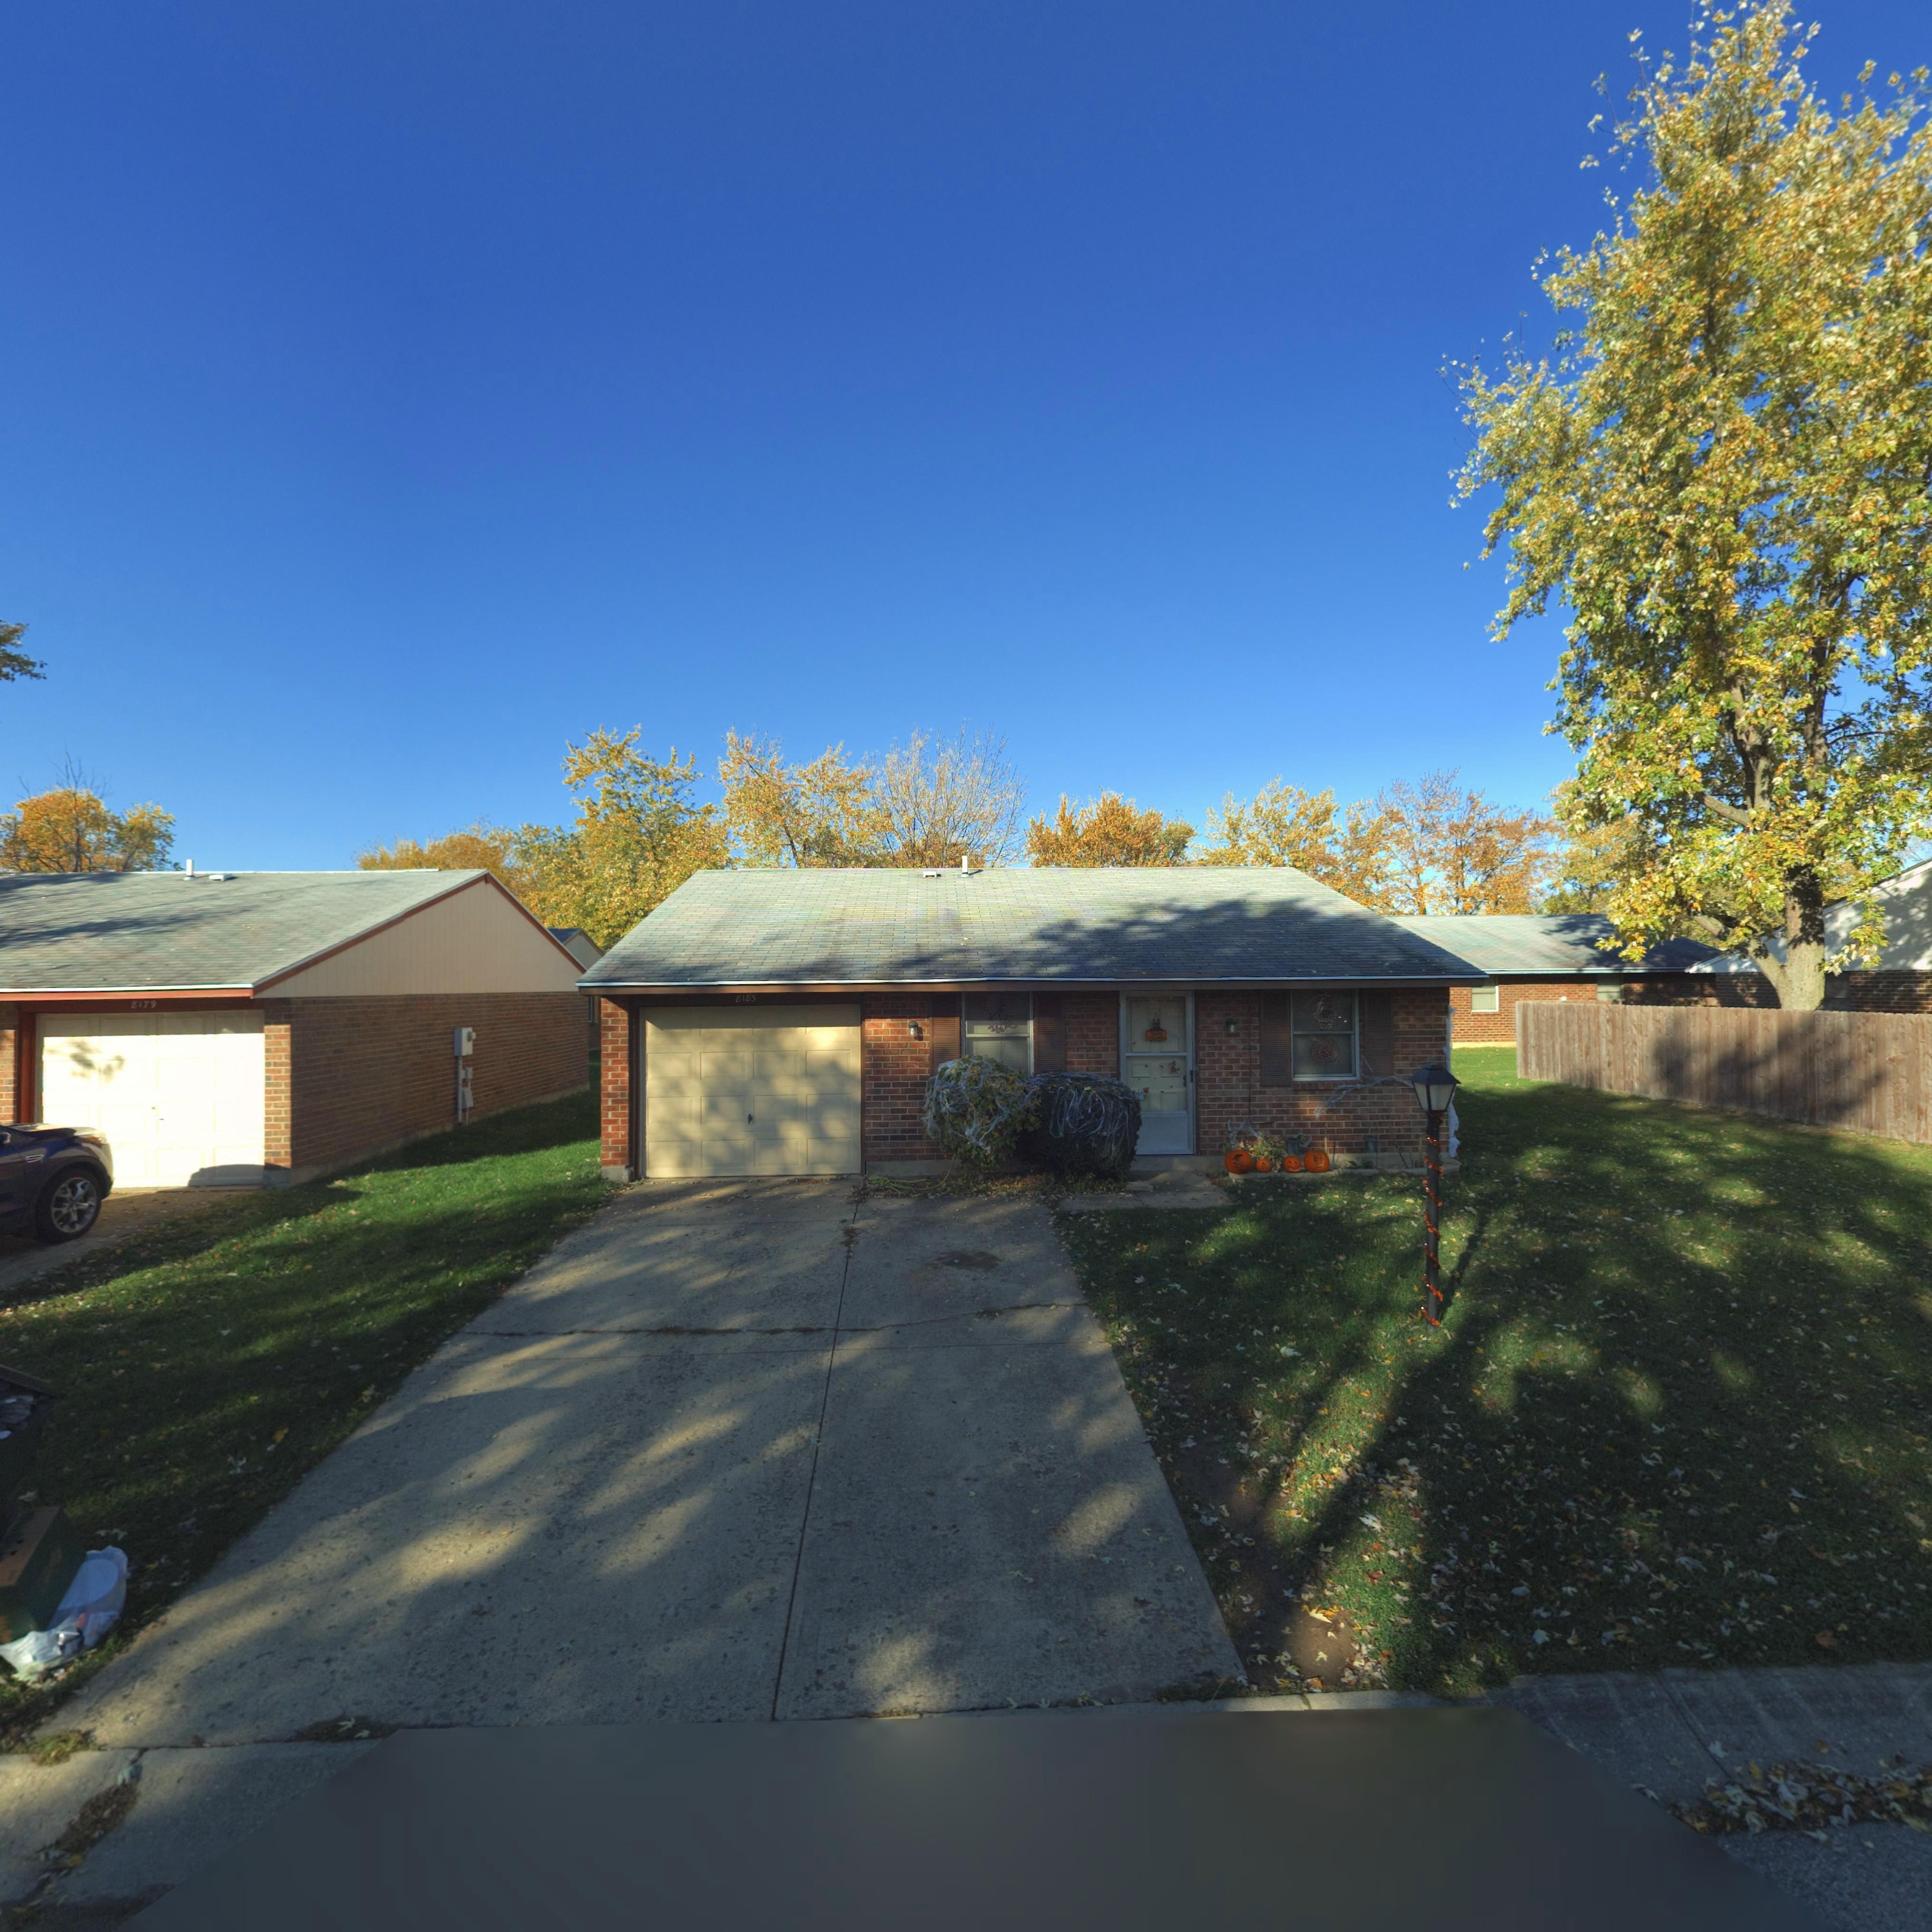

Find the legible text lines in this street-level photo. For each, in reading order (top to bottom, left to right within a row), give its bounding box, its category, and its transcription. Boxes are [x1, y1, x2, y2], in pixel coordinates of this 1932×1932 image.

[734, 993, 757, 1005] StreetNumber: 8185
[130, 999, 158, 1010] StreetNumber: 8179